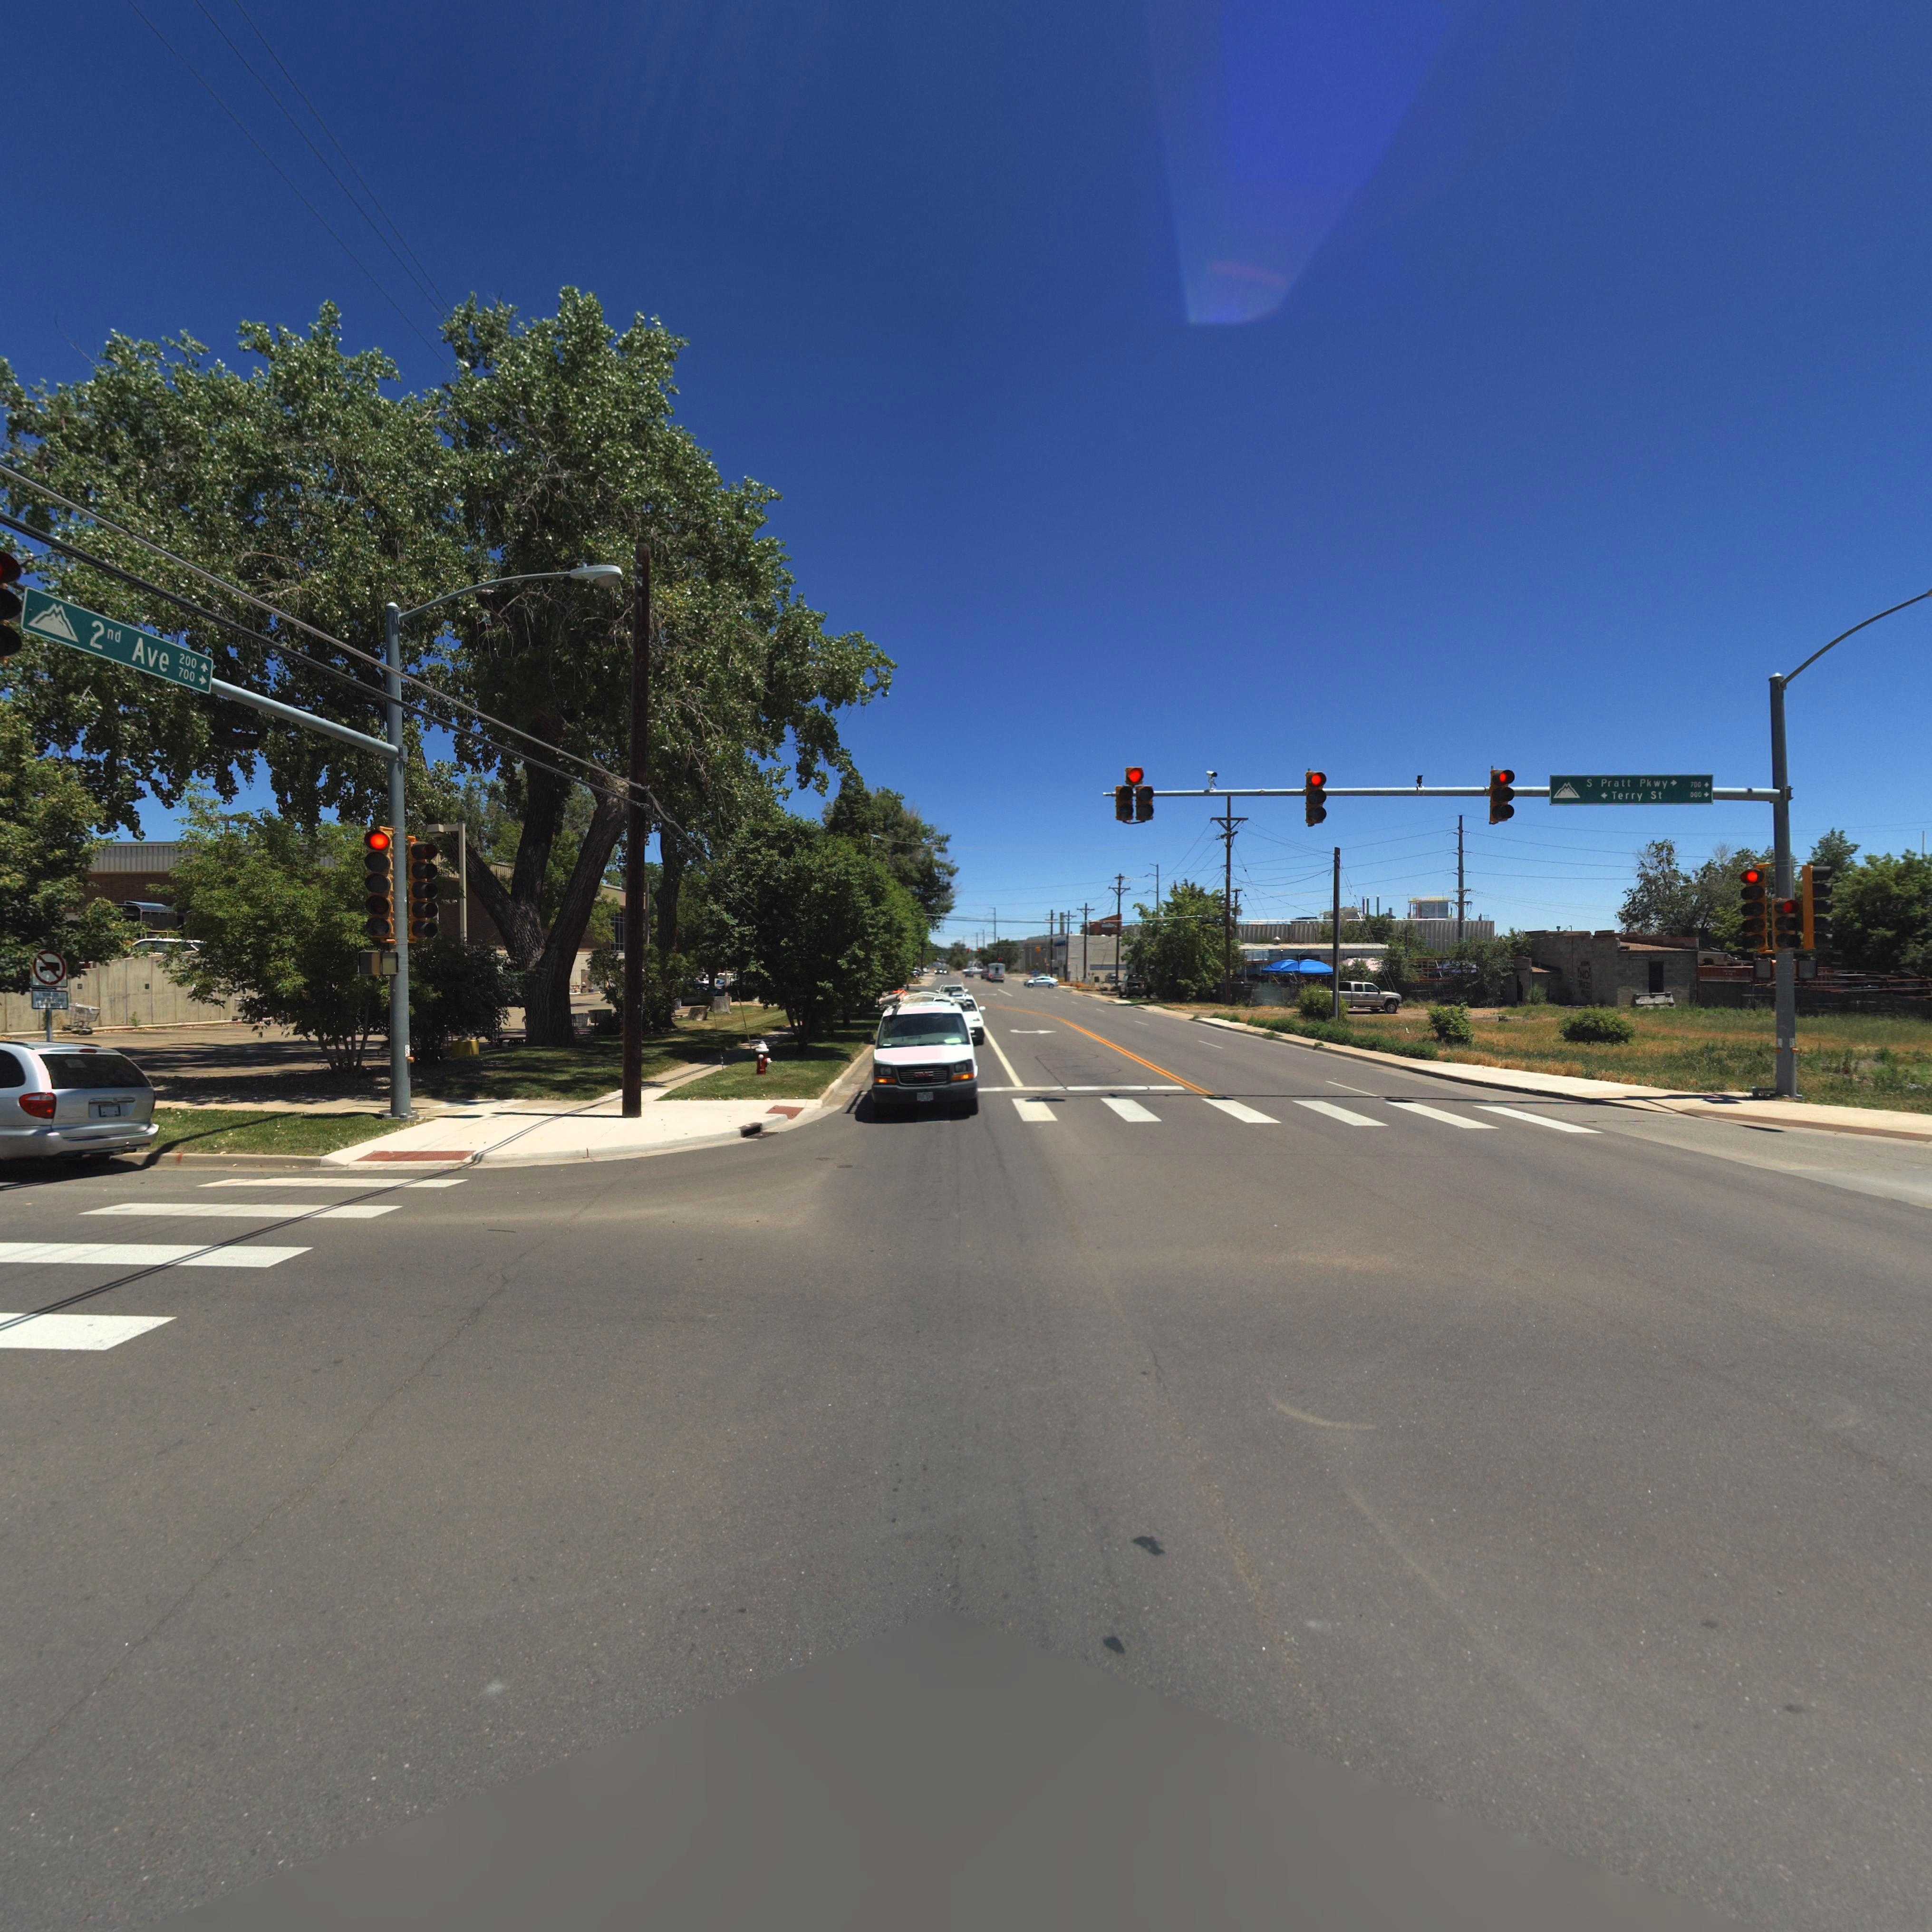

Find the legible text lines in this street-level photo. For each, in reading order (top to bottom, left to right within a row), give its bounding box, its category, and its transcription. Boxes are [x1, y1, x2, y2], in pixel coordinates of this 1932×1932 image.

[88, 619, 169, 672] StreetName: 2nd Ave
[178, 653, 197, 669] StreetNumberRange: 200
[178, 666, 207, 685] StreetNumberRange: 700->
[1586, 778, 1668, 790] StreetName: S Pratt Pkwy
[1690, 781, 1701, 787] StreetNumberRange: 700
[1611, 790, 1662, 802] StreetName: Terry St
[1690, 791, 1710, 798] StreetNumberRange: 000->